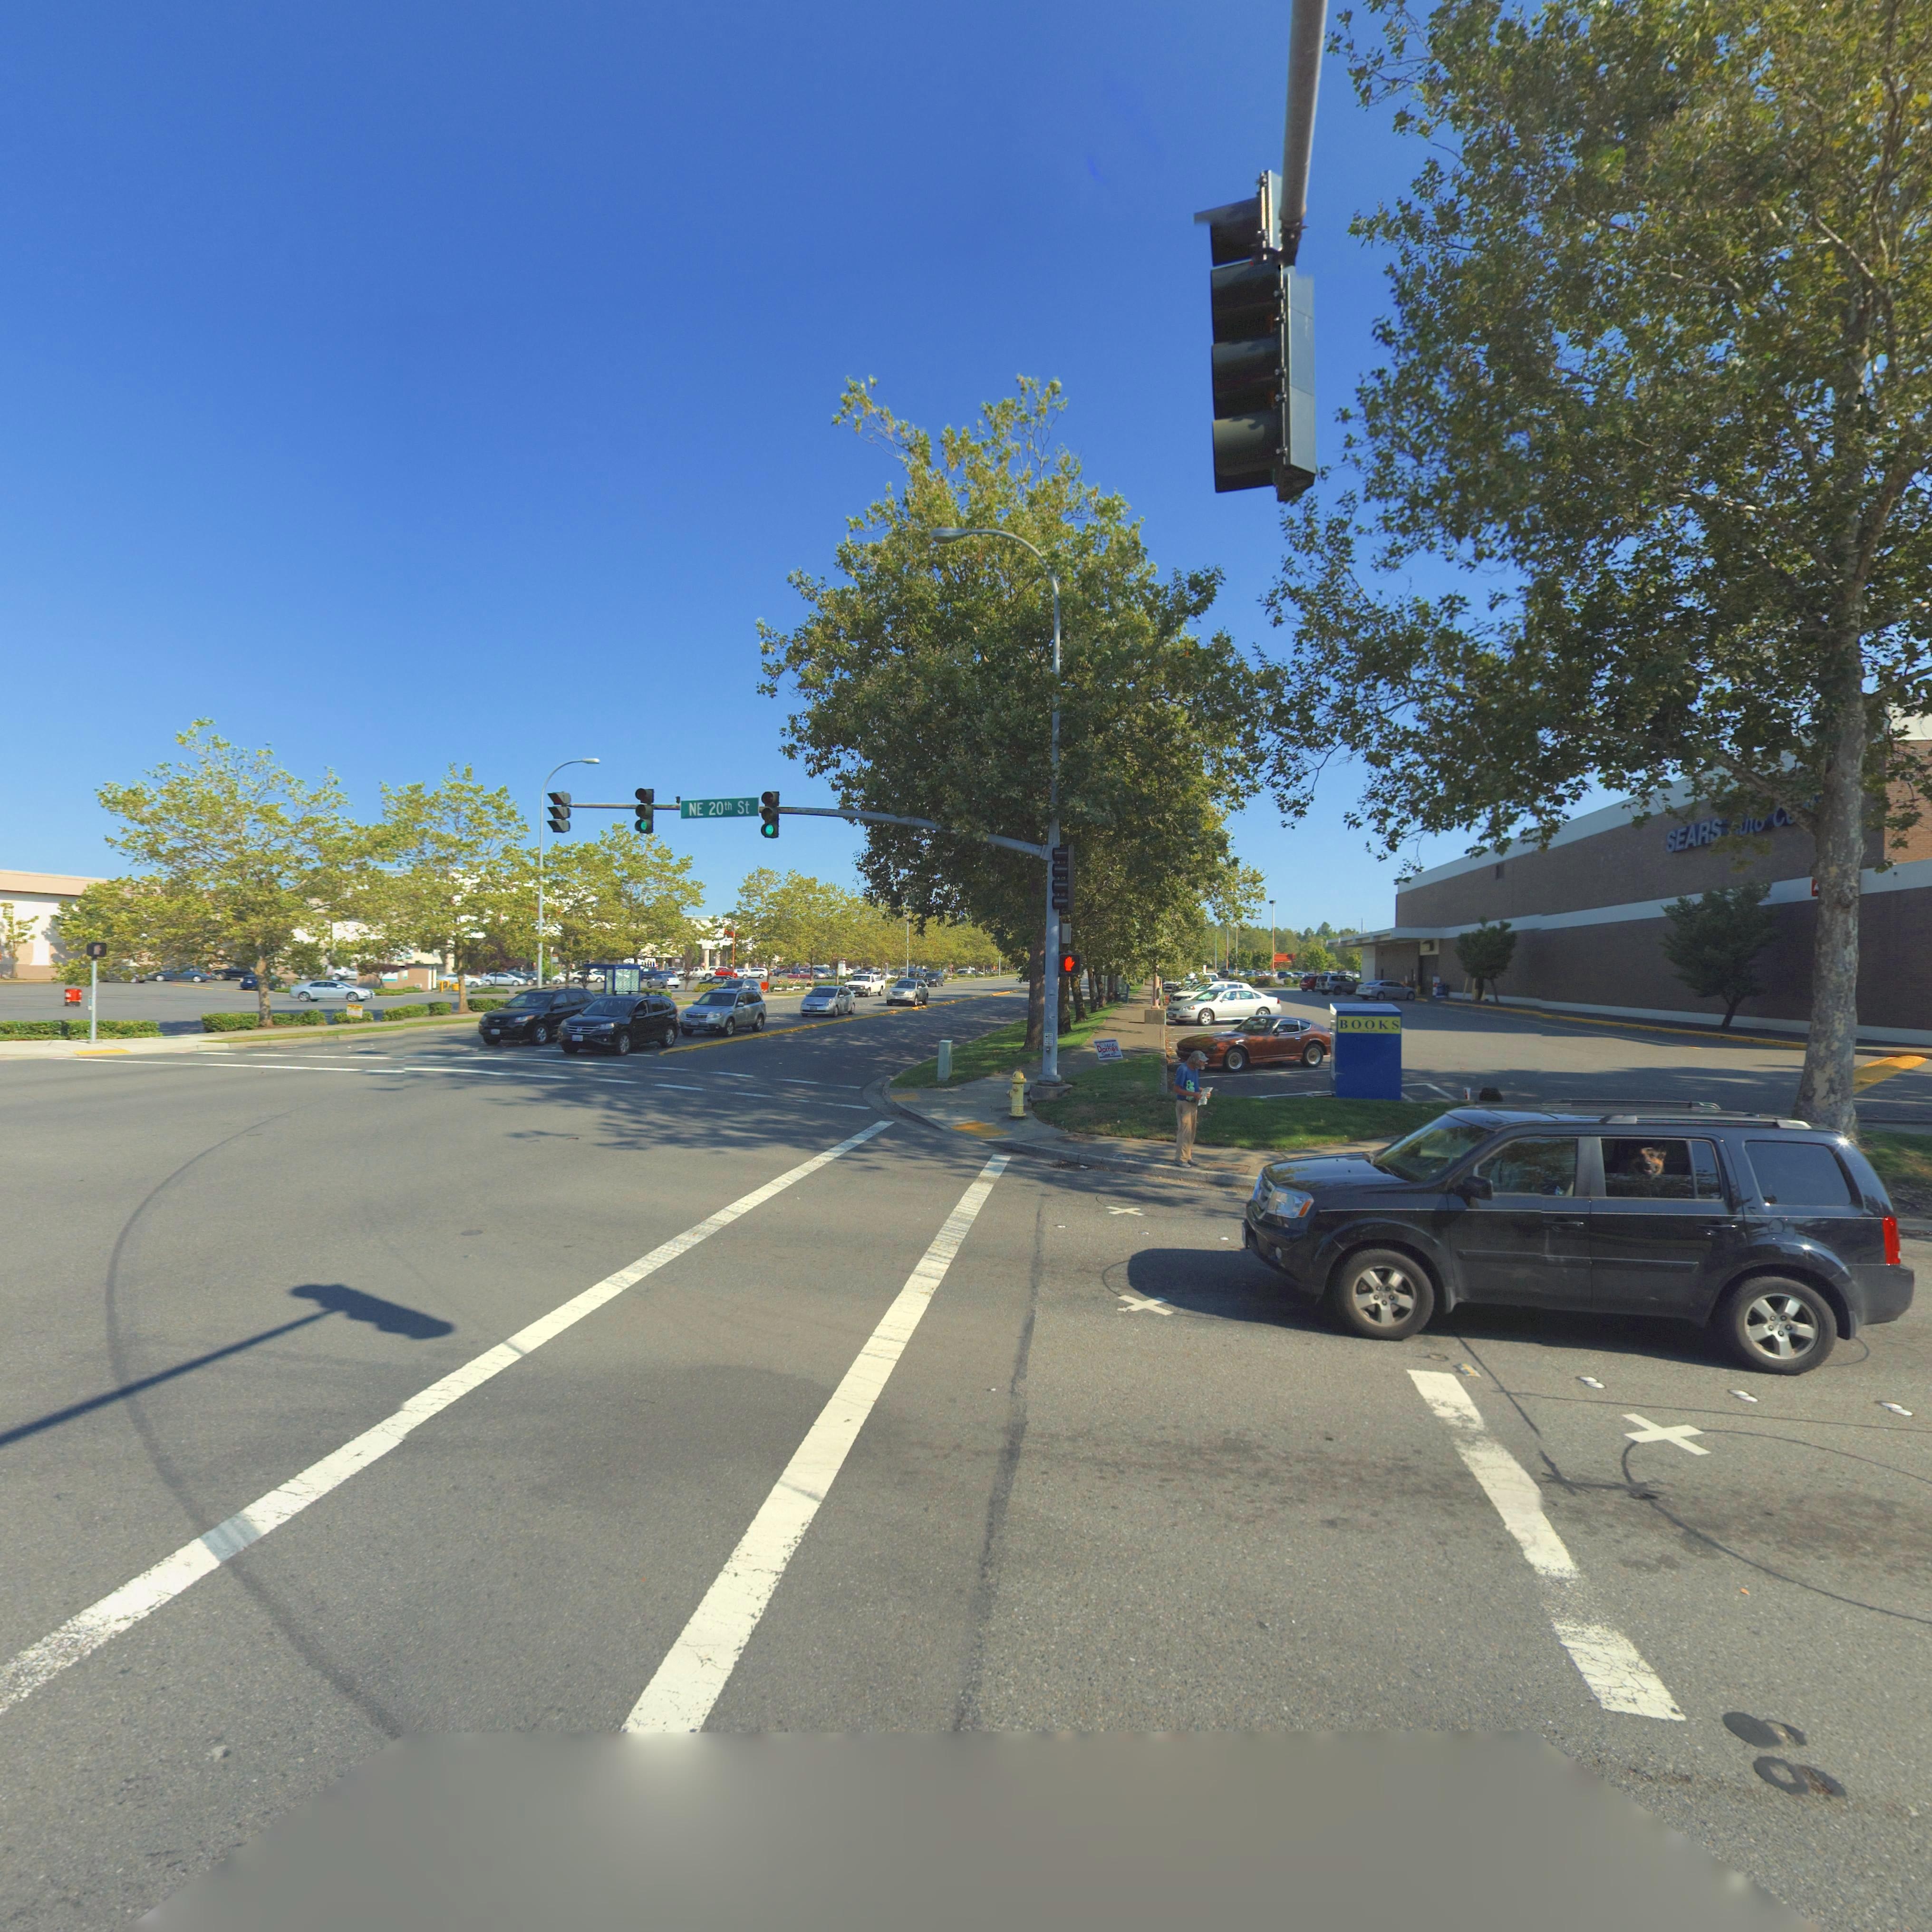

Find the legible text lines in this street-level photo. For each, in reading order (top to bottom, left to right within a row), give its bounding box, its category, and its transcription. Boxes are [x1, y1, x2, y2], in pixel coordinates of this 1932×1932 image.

[689, 800, 750, 815] StreetName: NE 20th St
[1664, 817, 1723, 853] BusinessName: SEARS